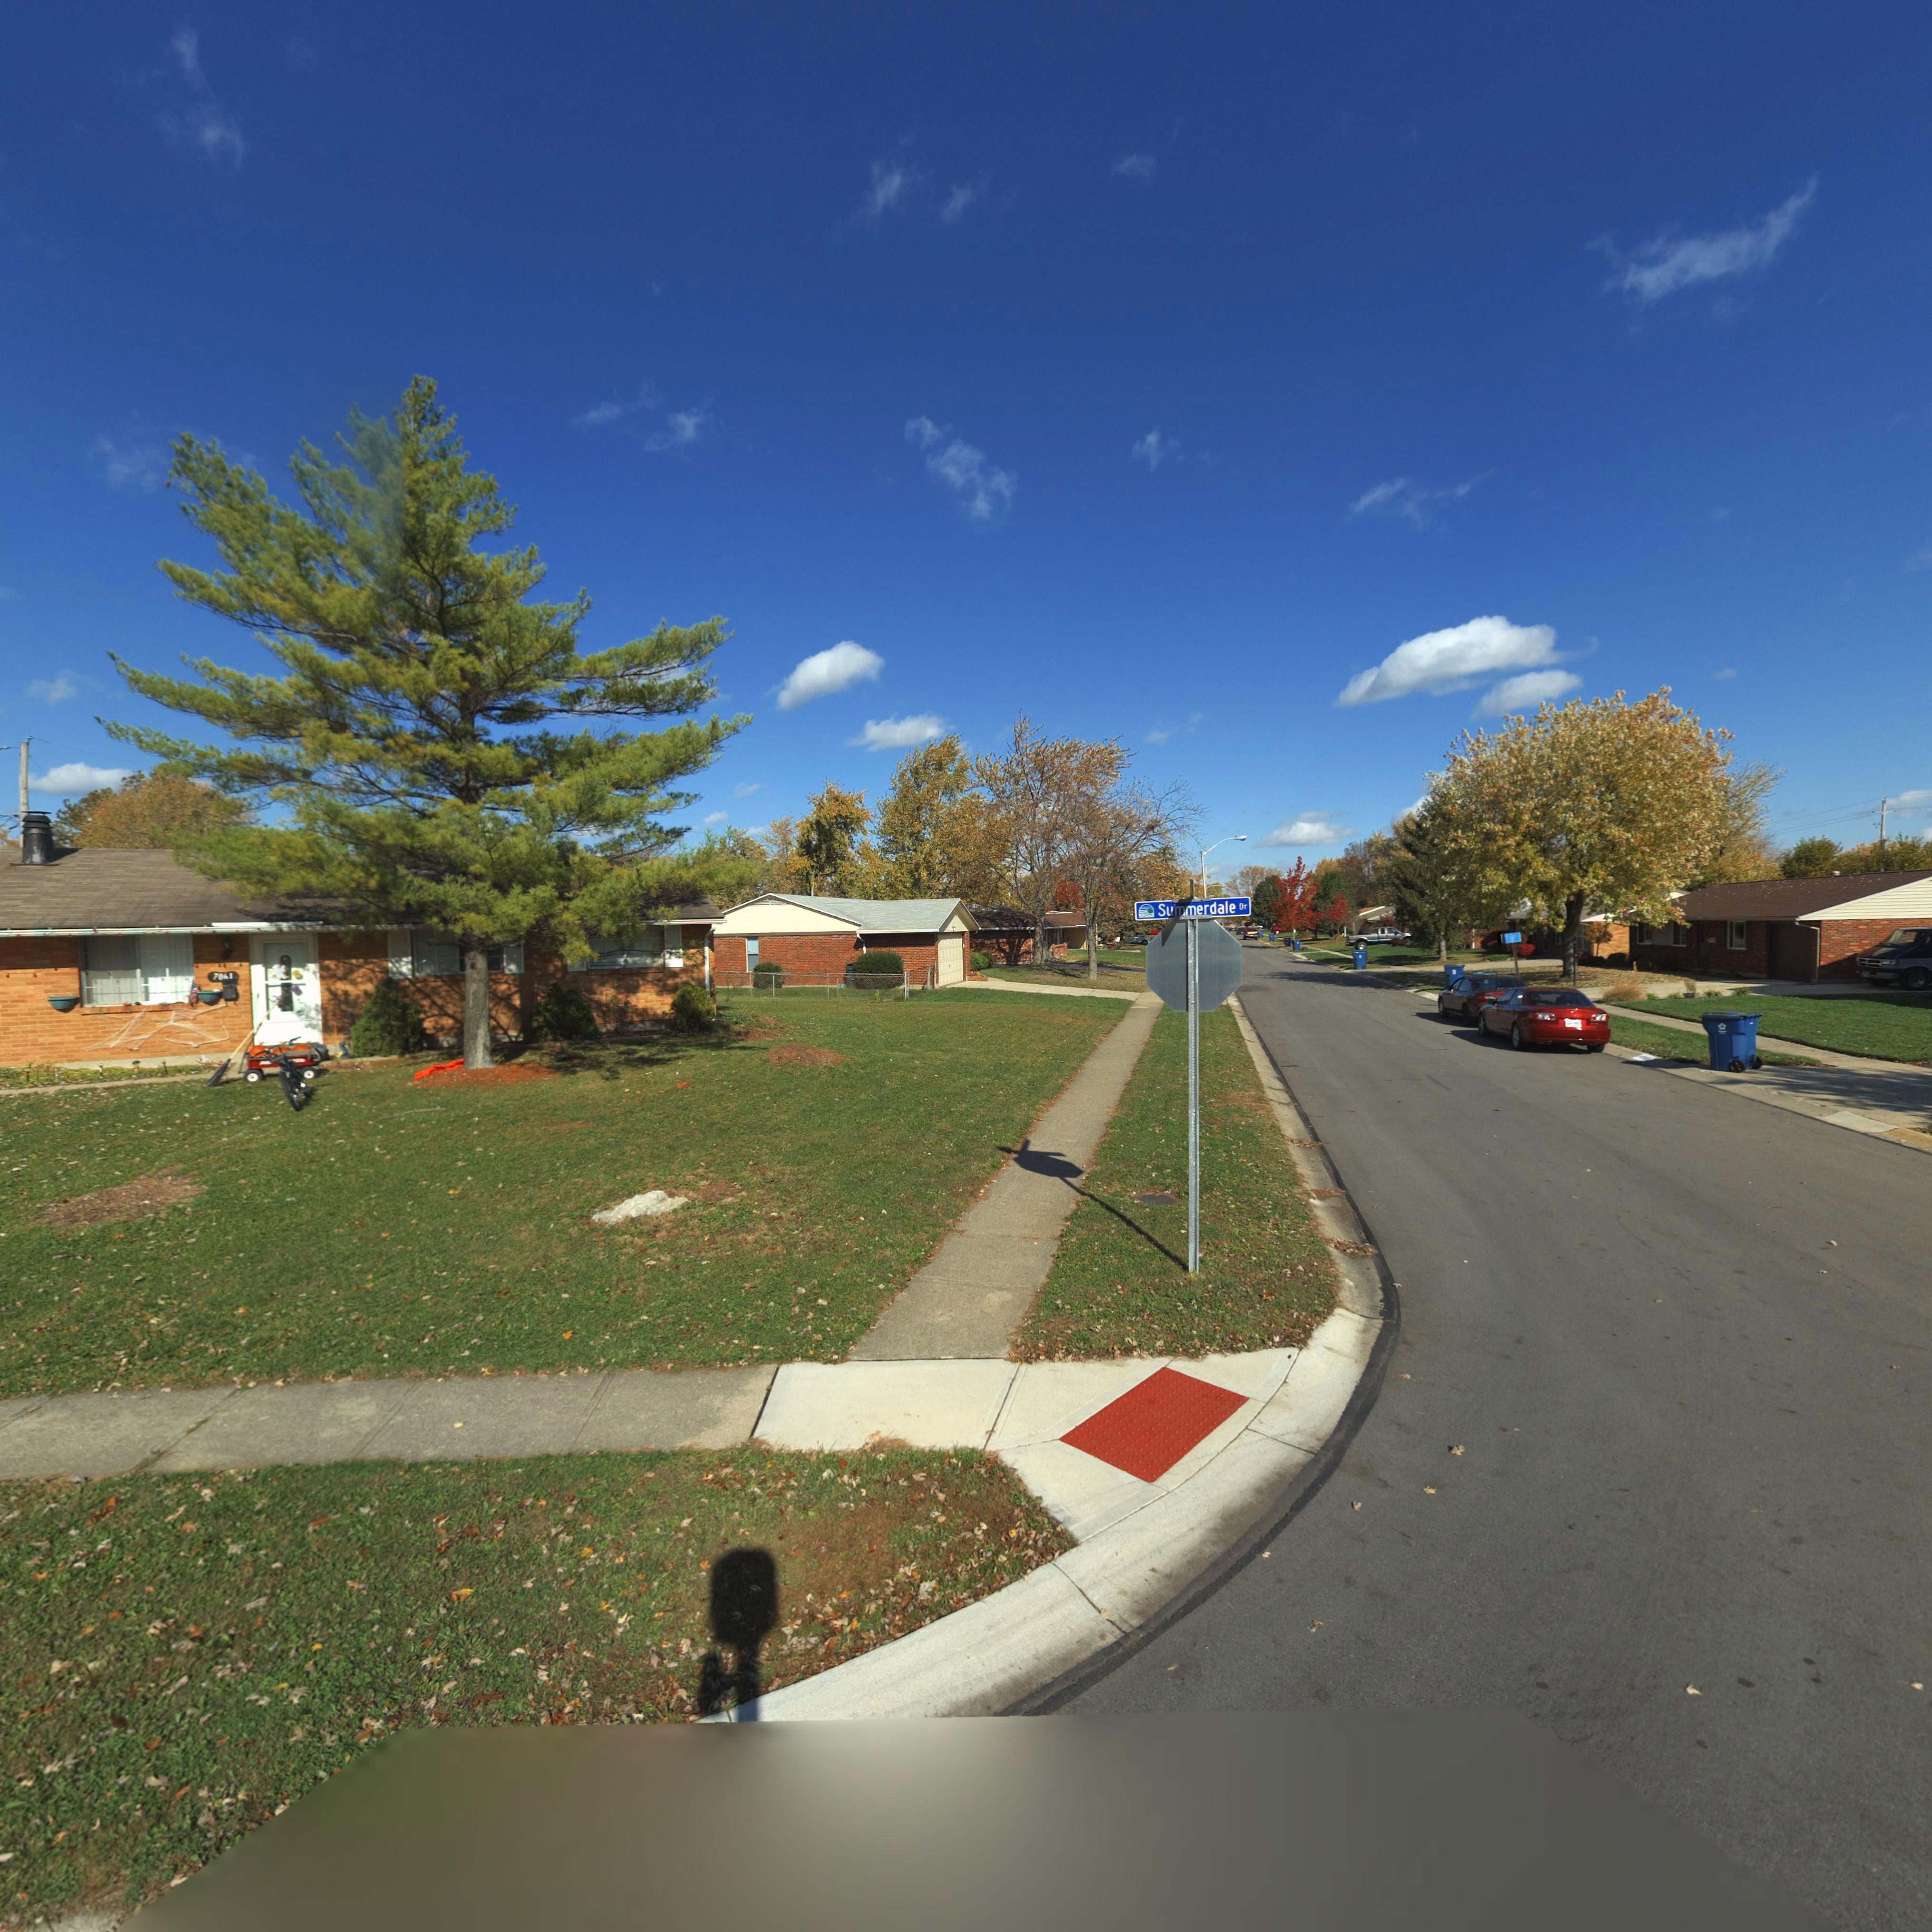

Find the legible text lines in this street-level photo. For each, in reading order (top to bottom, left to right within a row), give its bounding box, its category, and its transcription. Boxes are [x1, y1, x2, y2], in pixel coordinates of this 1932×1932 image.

[210, 971, 234, 982] StreetNumber: 70**